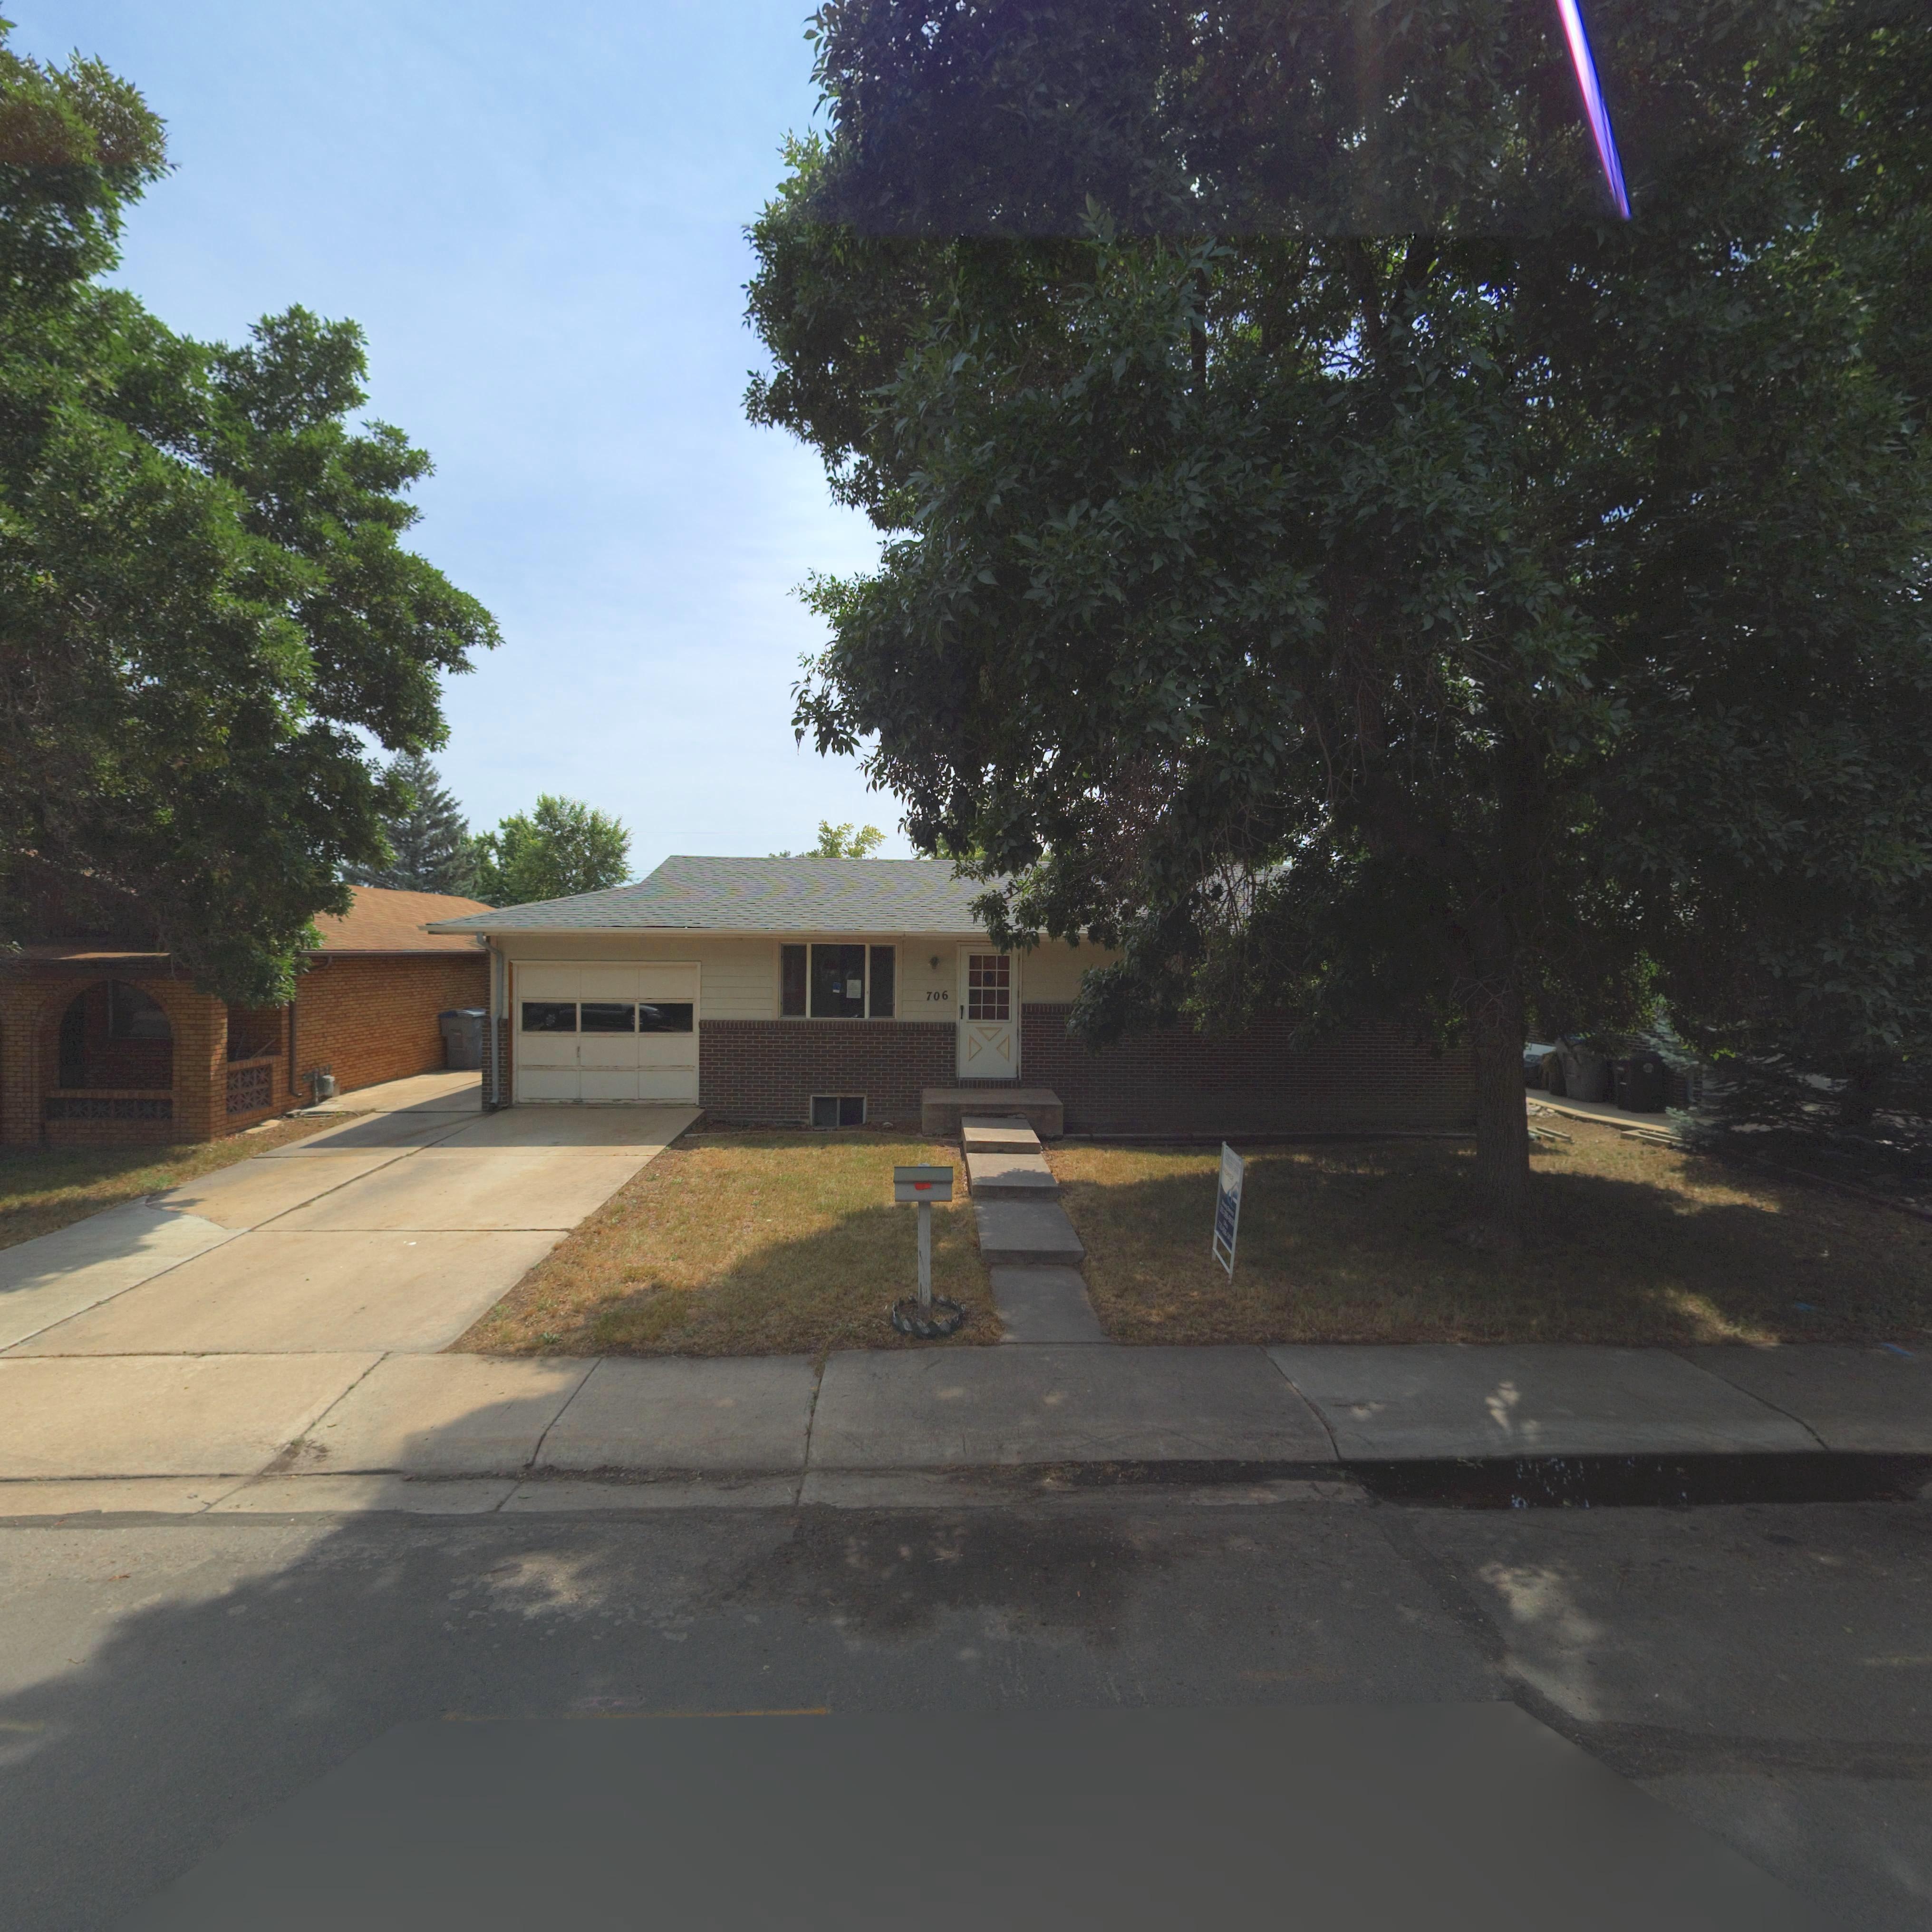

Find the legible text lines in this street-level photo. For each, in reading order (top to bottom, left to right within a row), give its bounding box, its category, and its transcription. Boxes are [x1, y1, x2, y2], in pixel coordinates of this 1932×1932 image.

[925, 990, 949, 1001] StreetNumber: 706